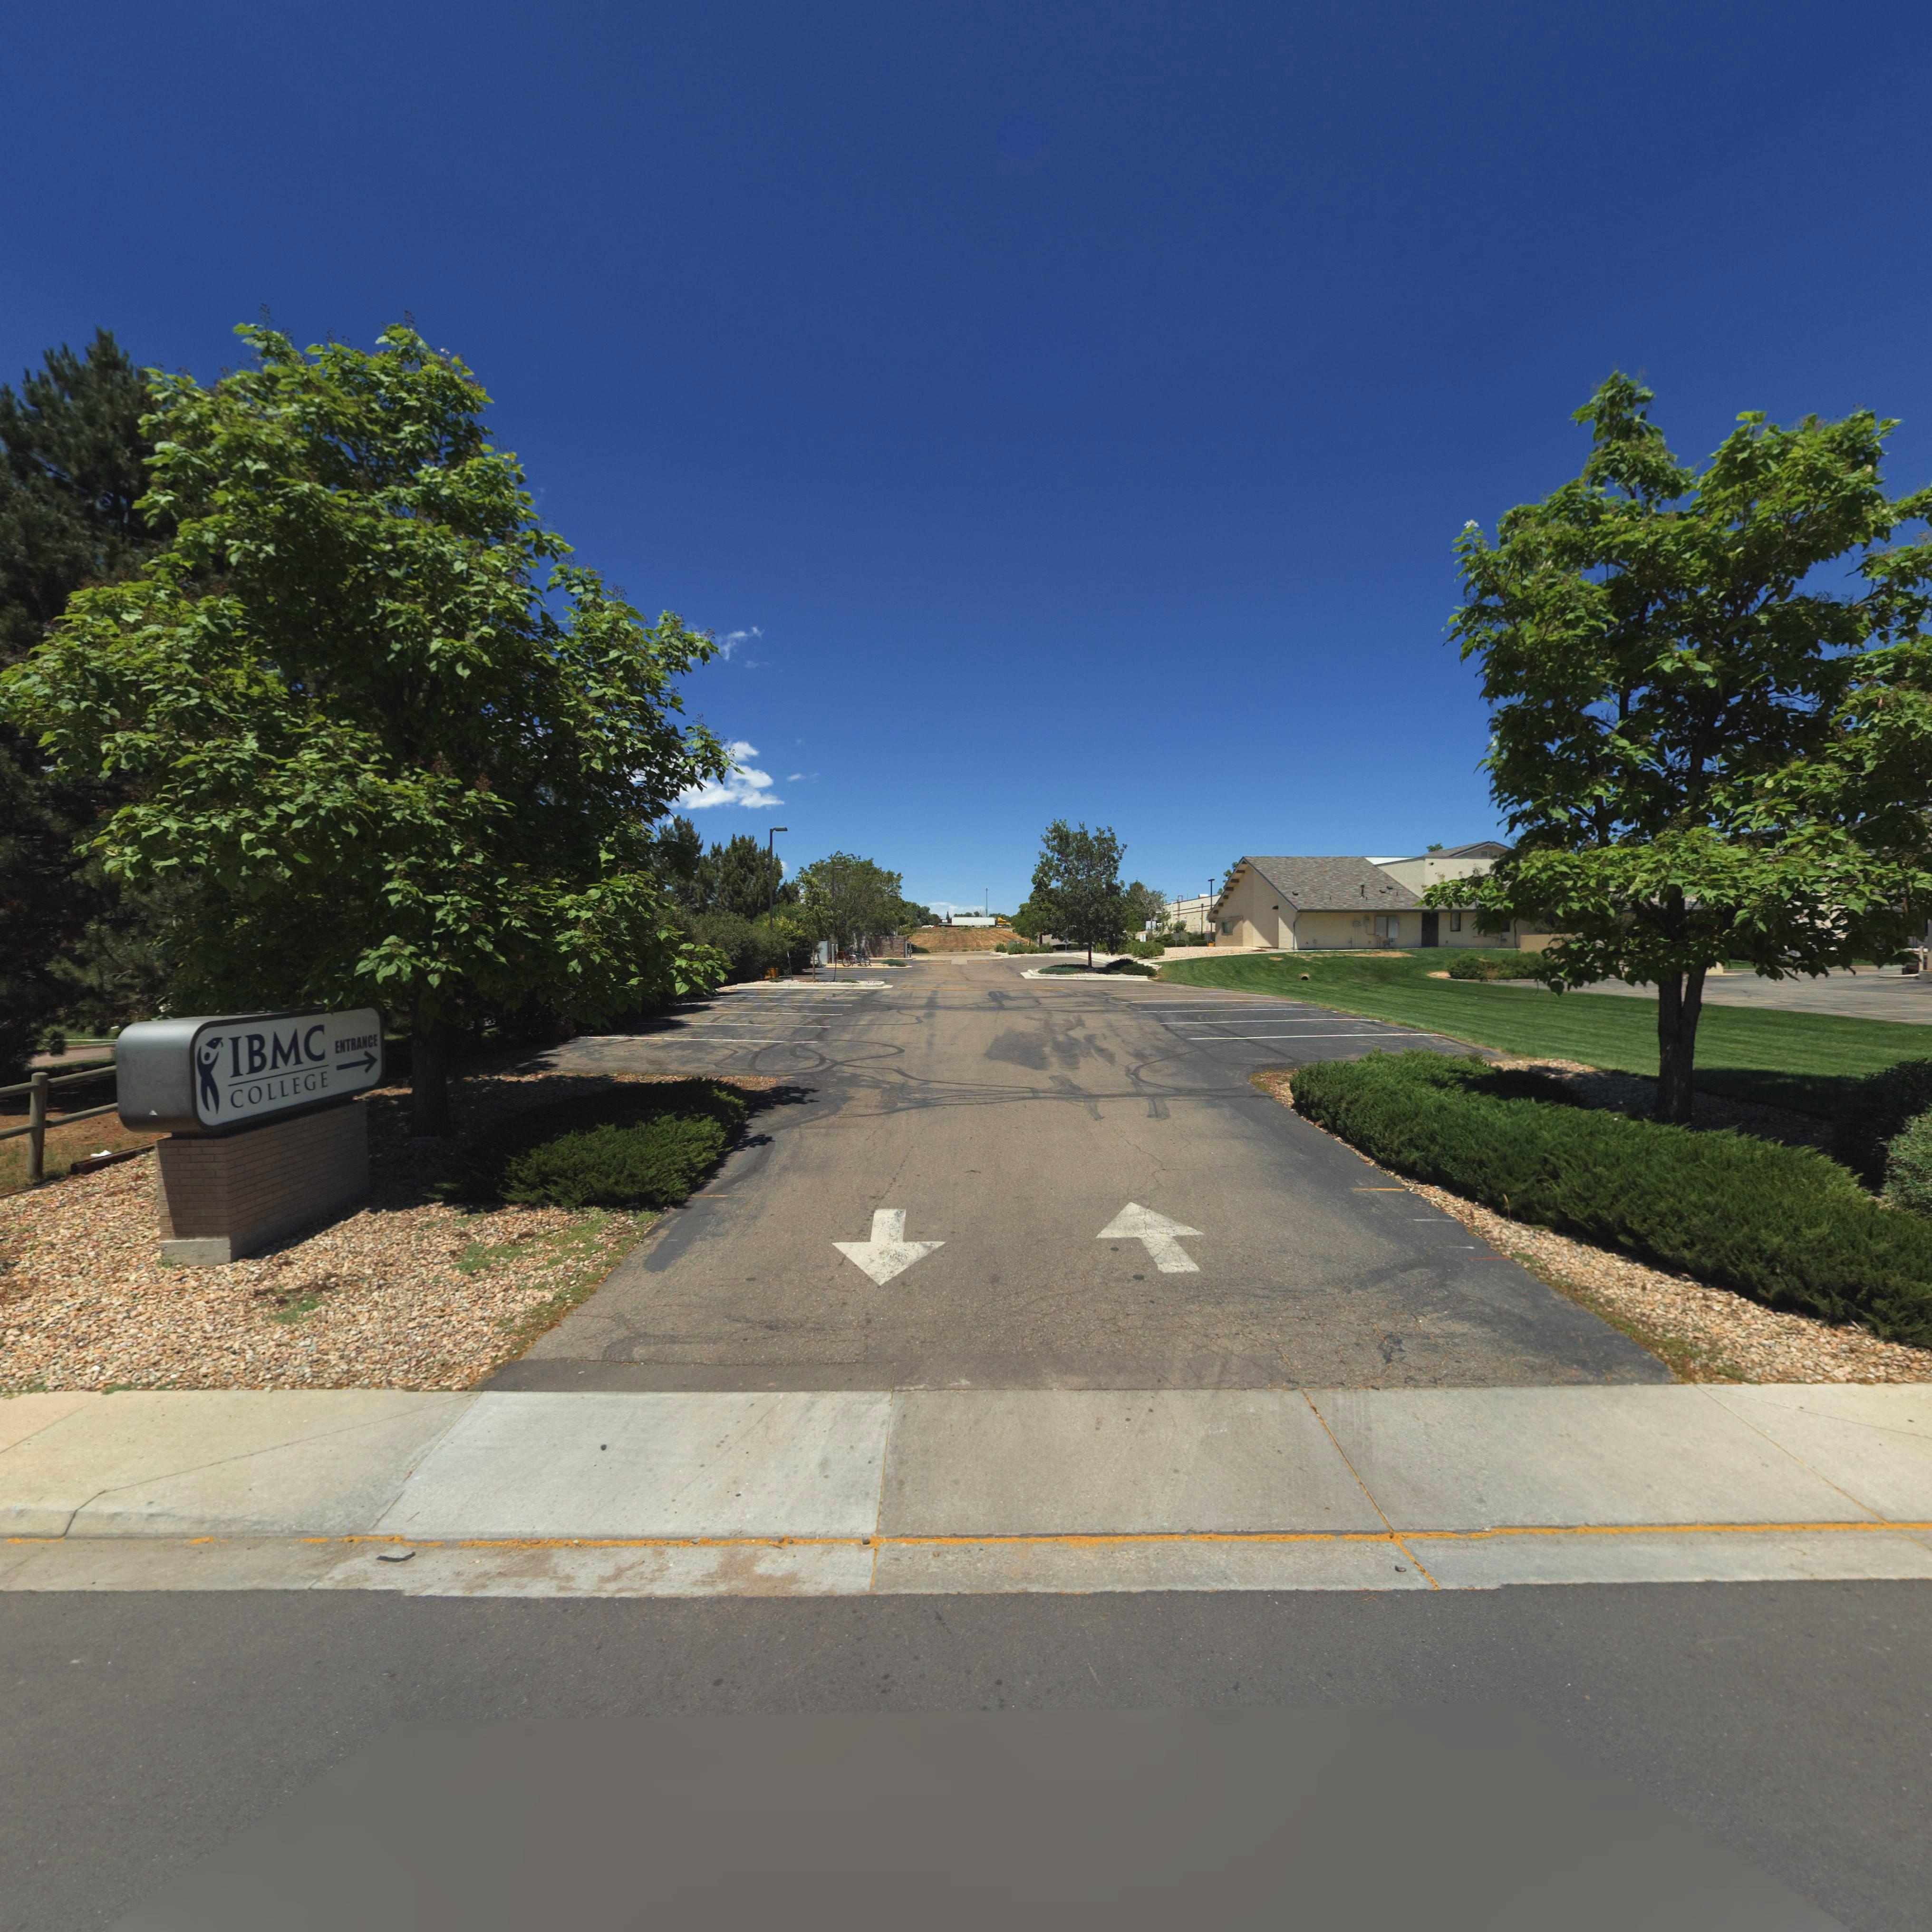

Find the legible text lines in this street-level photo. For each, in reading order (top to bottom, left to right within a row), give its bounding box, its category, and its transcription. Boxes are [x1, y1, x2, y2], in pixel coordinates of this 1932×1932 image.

[227, 1023, 326, 1078] BusinessName: IBMC
[229, 1070, 329, 1109] BusinessName: COLLEGE